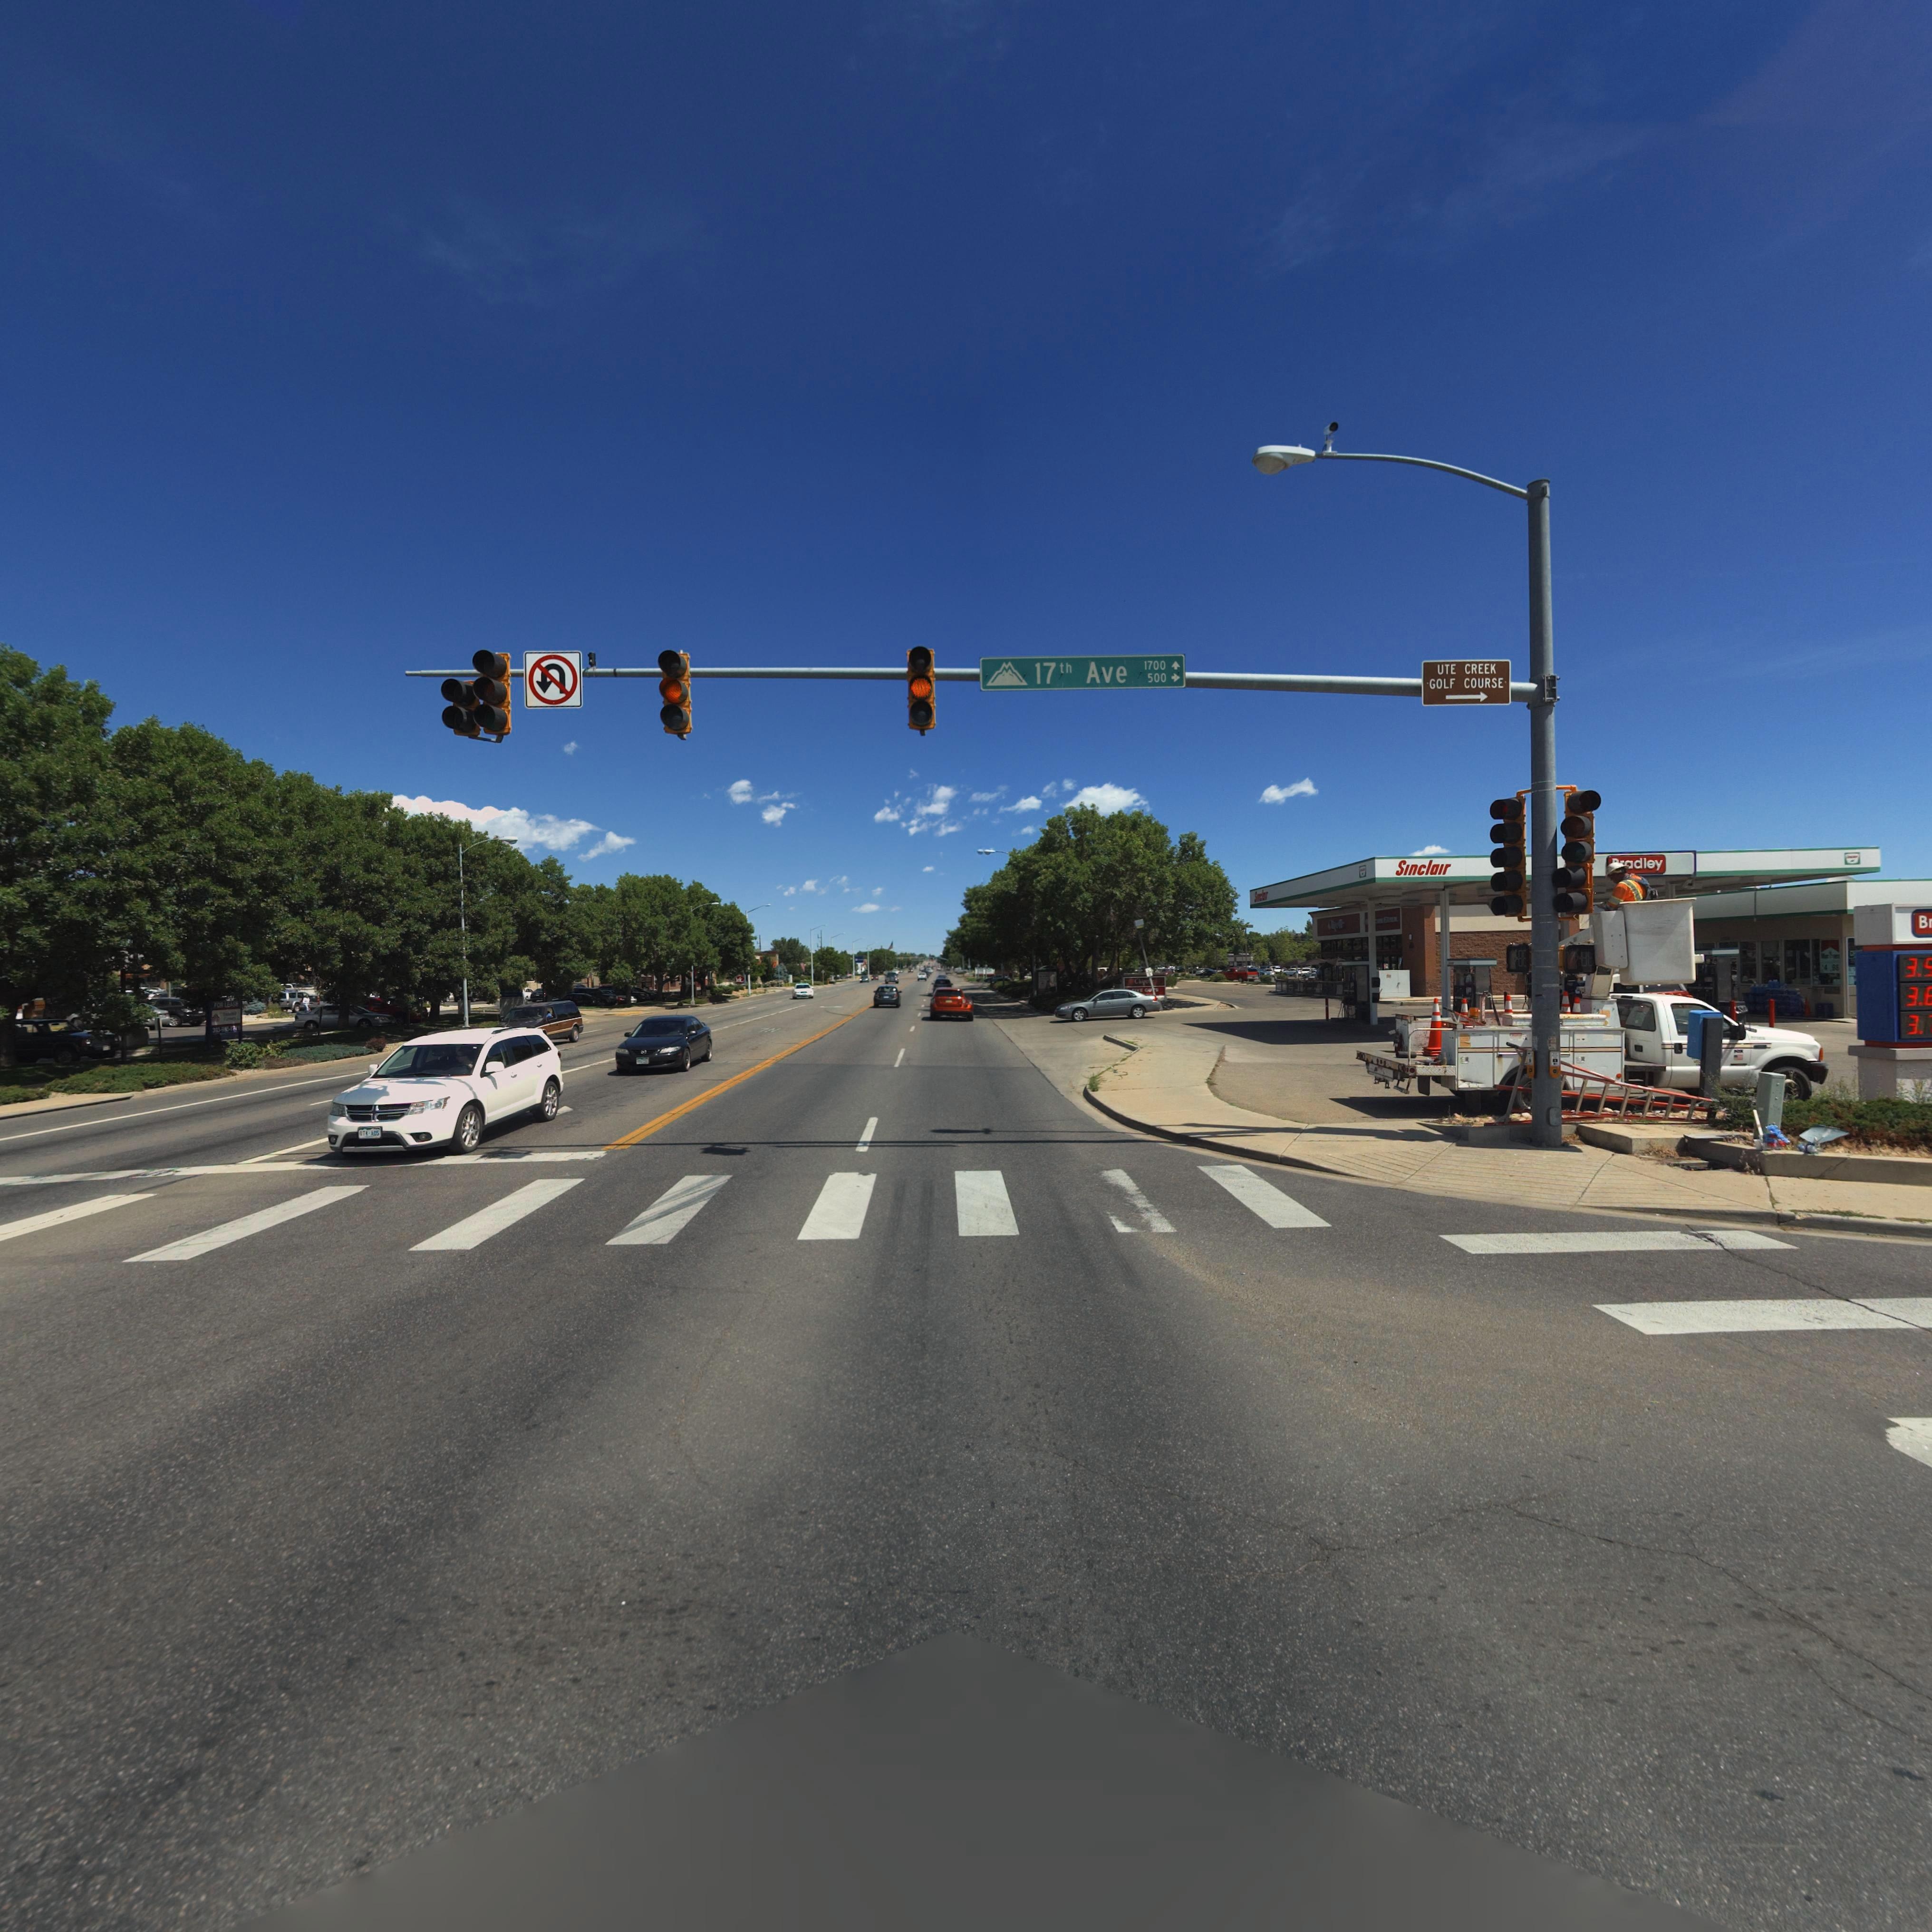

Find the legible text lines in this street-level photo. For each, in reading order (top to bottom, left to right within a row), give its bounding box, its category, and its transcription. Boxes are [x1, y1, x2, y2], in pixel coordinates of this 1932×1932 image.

[1144, 660, 1166, 670] StreetNumberRange: 1700
[1034, 661, 1128, 685] StreetName: 17th Ave
[1147, 672, 1181, 683] StreetNumberRange: 500->
[1395, 859, 1451, 876] BusinessName: SInclaIr
[1612, 857, 1663, 872] BusinessName: ***dley
[1254, 889, 1268, 902] BusinessName: S**cl***
[1327, 918, 1345, 932] BusinessName: C*******
[1375, 916, 1399, 924] BusinessName: *** ***LL
[1918, 915, 1928, 929] BusinessName: B
[734, 976, 744, 982] BusinessName: ***k
[1134, 978, 1154, 985] BusinessName: Chipo***
[1136, 988, 1159, 992] BusinessName: ** GU**